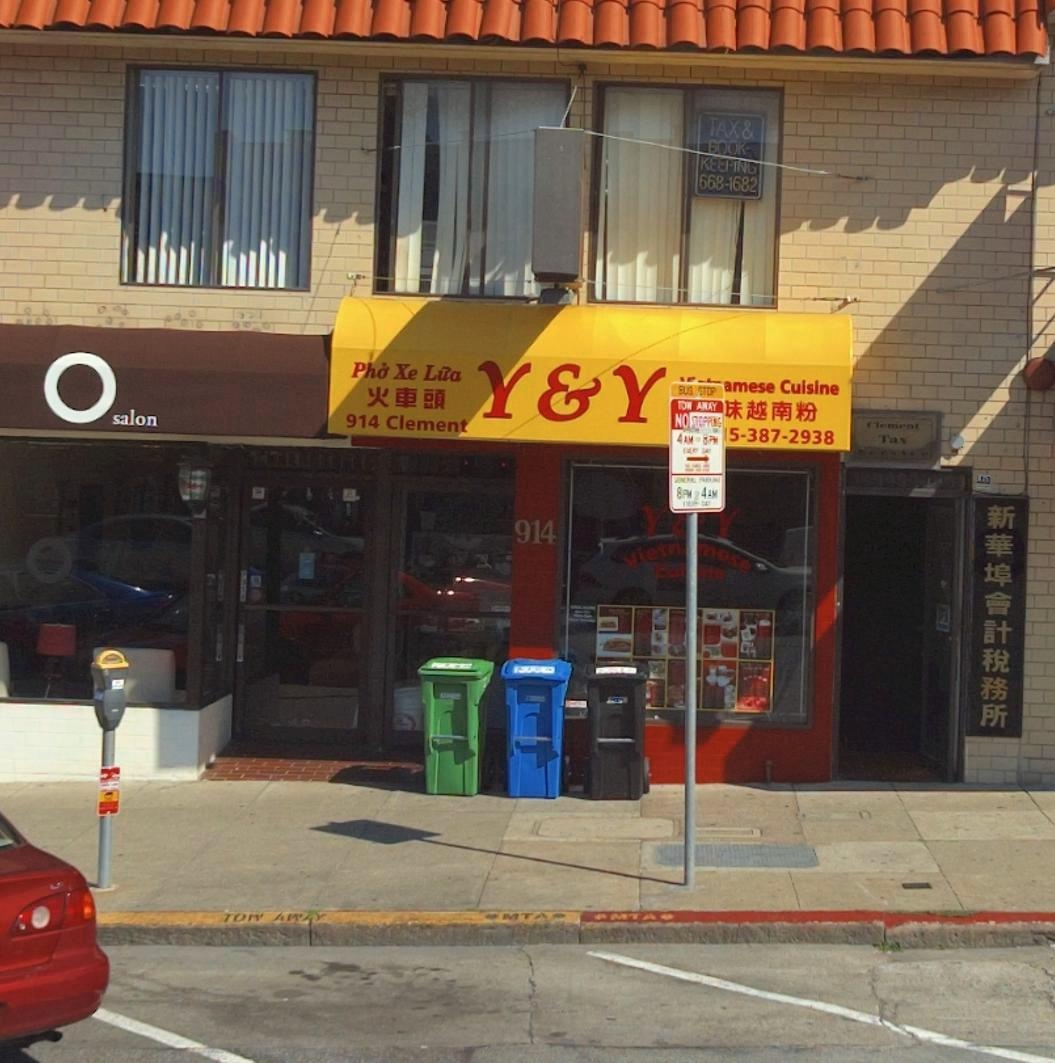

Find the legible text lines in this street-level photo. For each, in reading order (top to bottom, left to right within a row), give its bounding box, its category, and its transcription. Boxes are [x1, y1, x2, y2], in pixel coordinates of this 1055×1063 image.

[350, 359, 465, 383] None: Pho Xe Lua
[40, 347, 118, 429] BusinessName: O
[473, 358, 671, 425] BusinessName: Y&Y
[676, 382, 718, 398] None: BUS STOP
[723, 378, 841, 398] None: amese Cuisine
[676, 398, 720, 413] None: TOW AWAY\
[110, 406, 159, 428] BusinessName: salon
[345, 411, 469, 434] None: 914 Clement
[674, 411, 723, 430] None: NO STOPPING
[865, 419, 920, 432] BusinessName: Clement
[674, 430, 721, 447] None: 4AM 8OM
[729, 425, 835, 447] None: 5-387-2938
[877, 432, 908, 446] BusinessName: Tax
[674, 485, 720, 501] None: 8PM 4AM
[637, 501, 672, 542] None: Y
[513, 518, 559, 546] StreetNumber: 914
[617, 538, 756, 576] None: Vietn*mese
[654, 561, 726, 580] None: Cus**ne
[217, 910, 328, 924] None: TOW AWAY